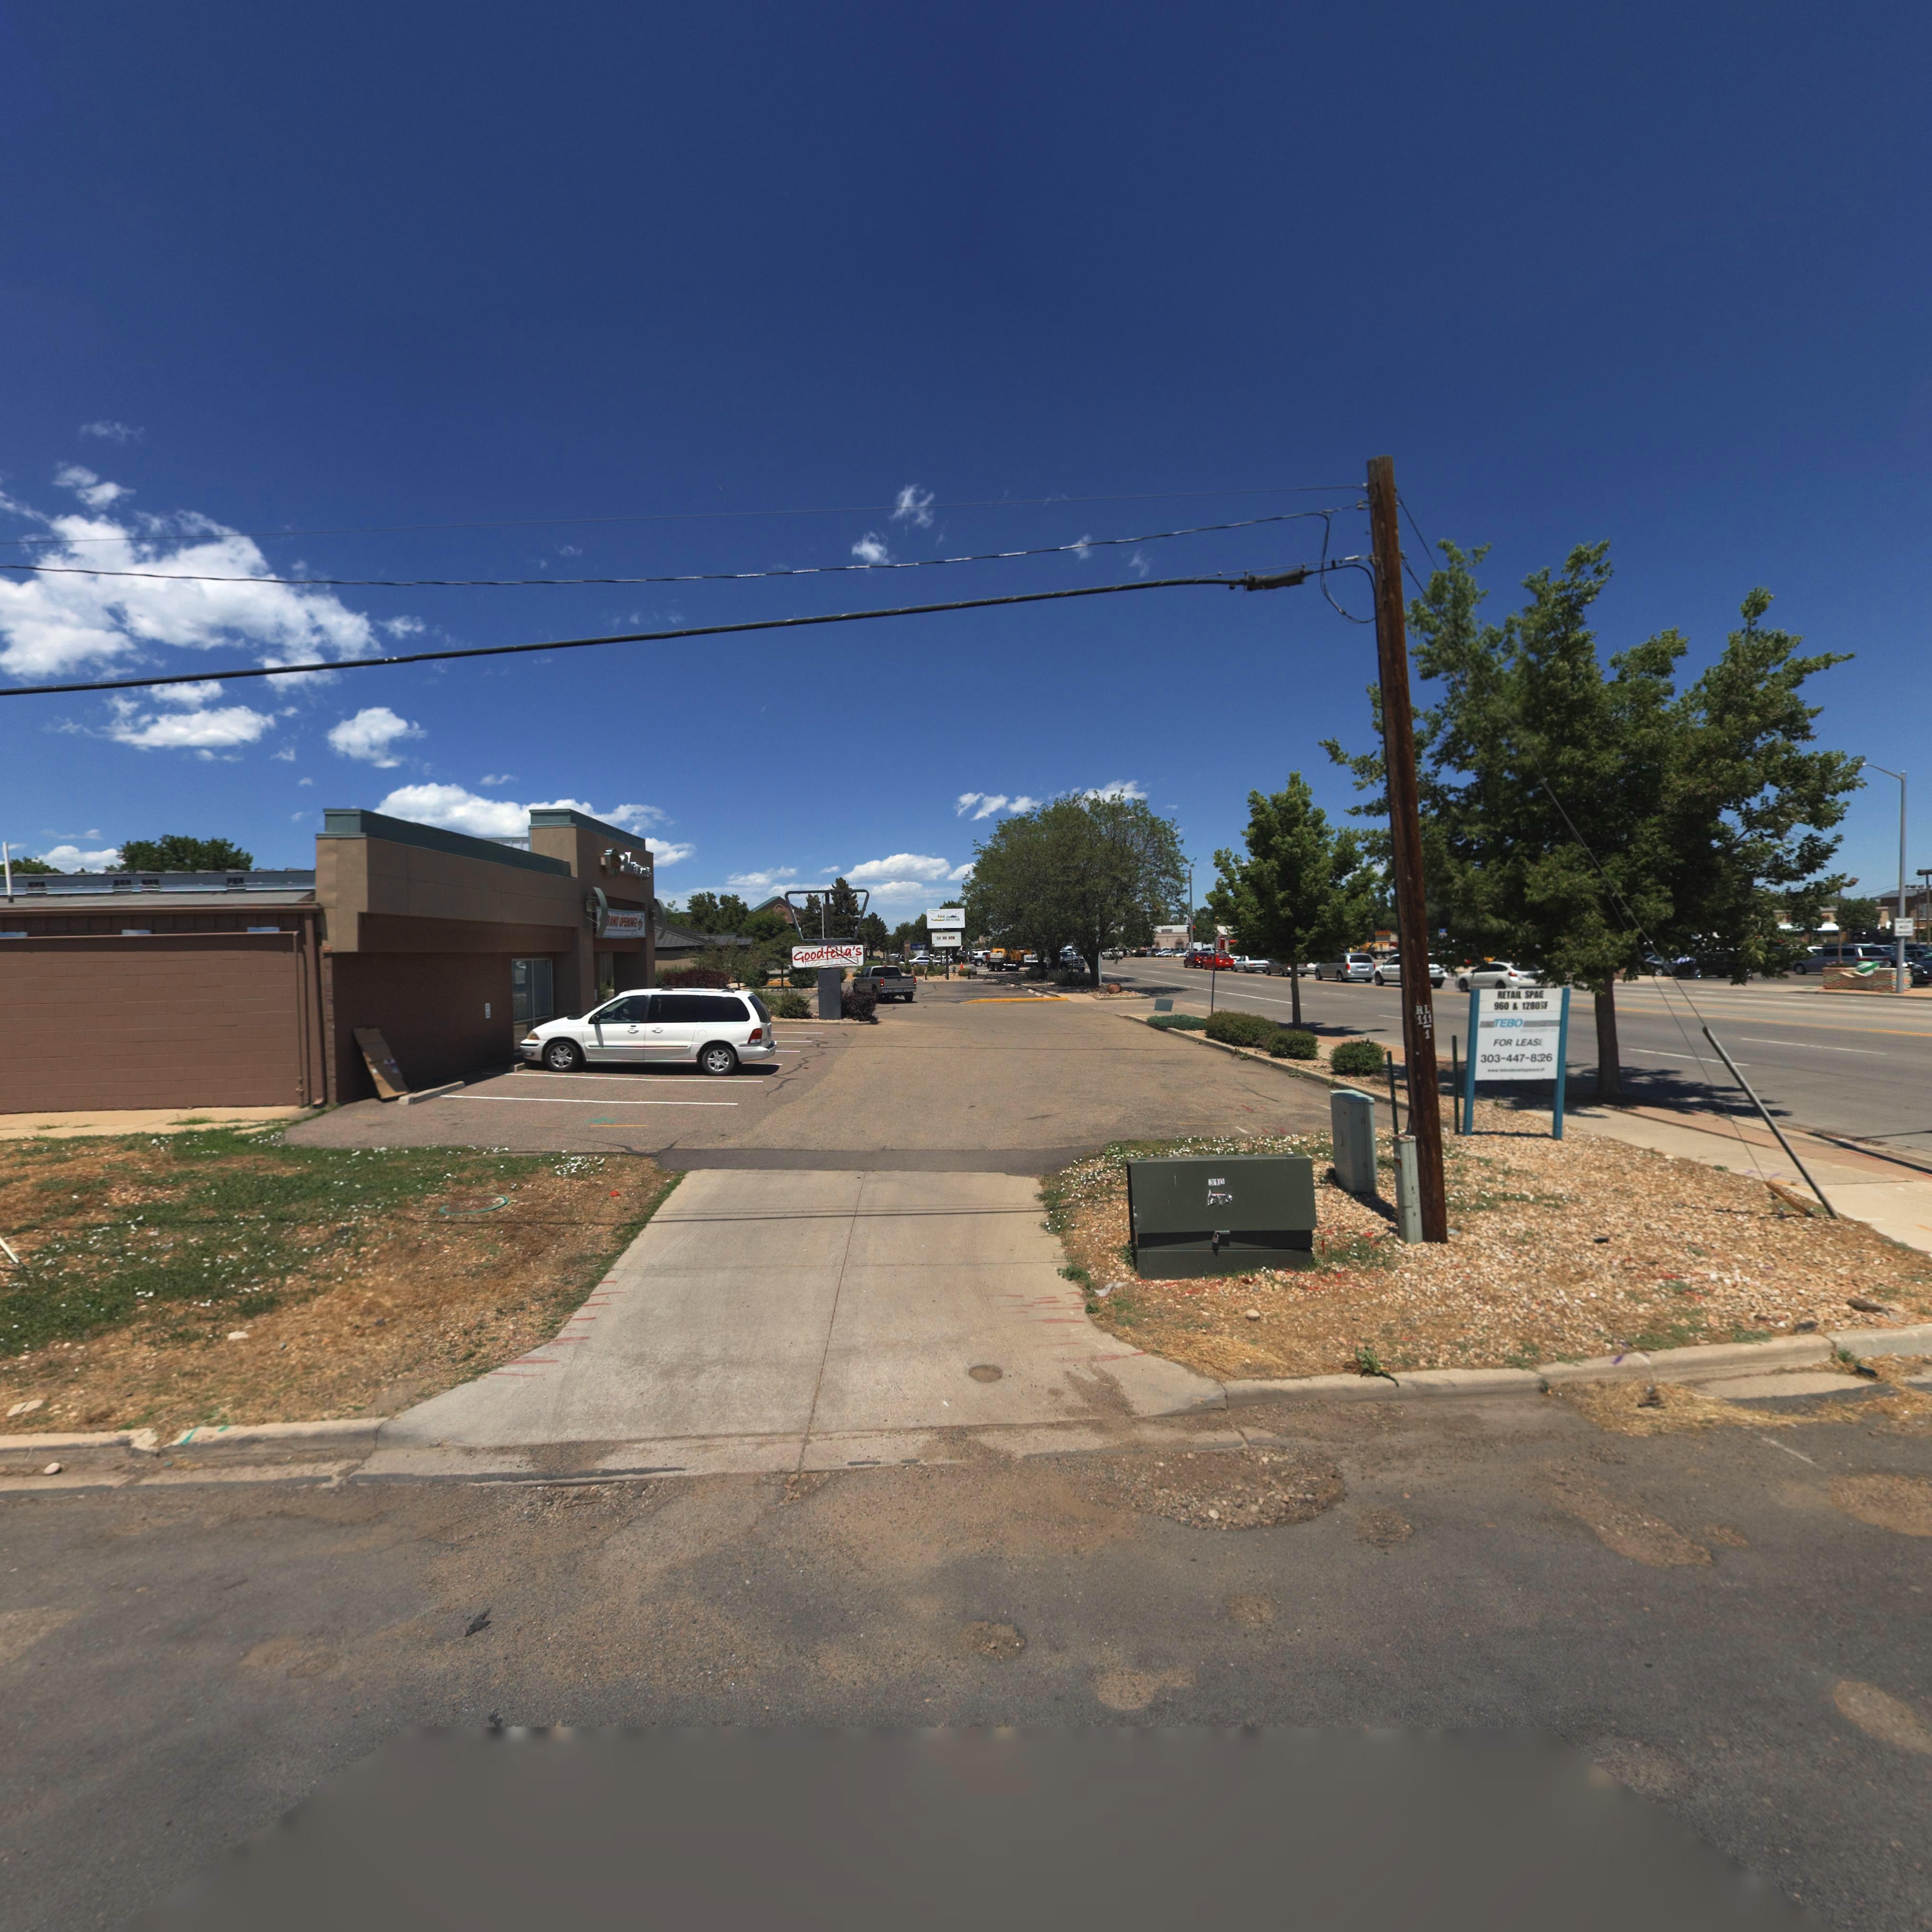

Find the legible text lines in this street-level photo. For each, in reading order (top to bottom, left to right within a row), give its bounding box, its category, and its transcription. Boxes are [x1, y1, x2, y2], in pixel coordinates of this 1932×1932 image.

[937, 915, 945, 918] BusinessName: F***
[930, 917, 960, 921] BusinessName: N*****l **NVER
[793, 944, 862, 963] BusinessName: Goodfella's
[1481, 1053, 1552, 1063] PhoneNumber: 303447-826